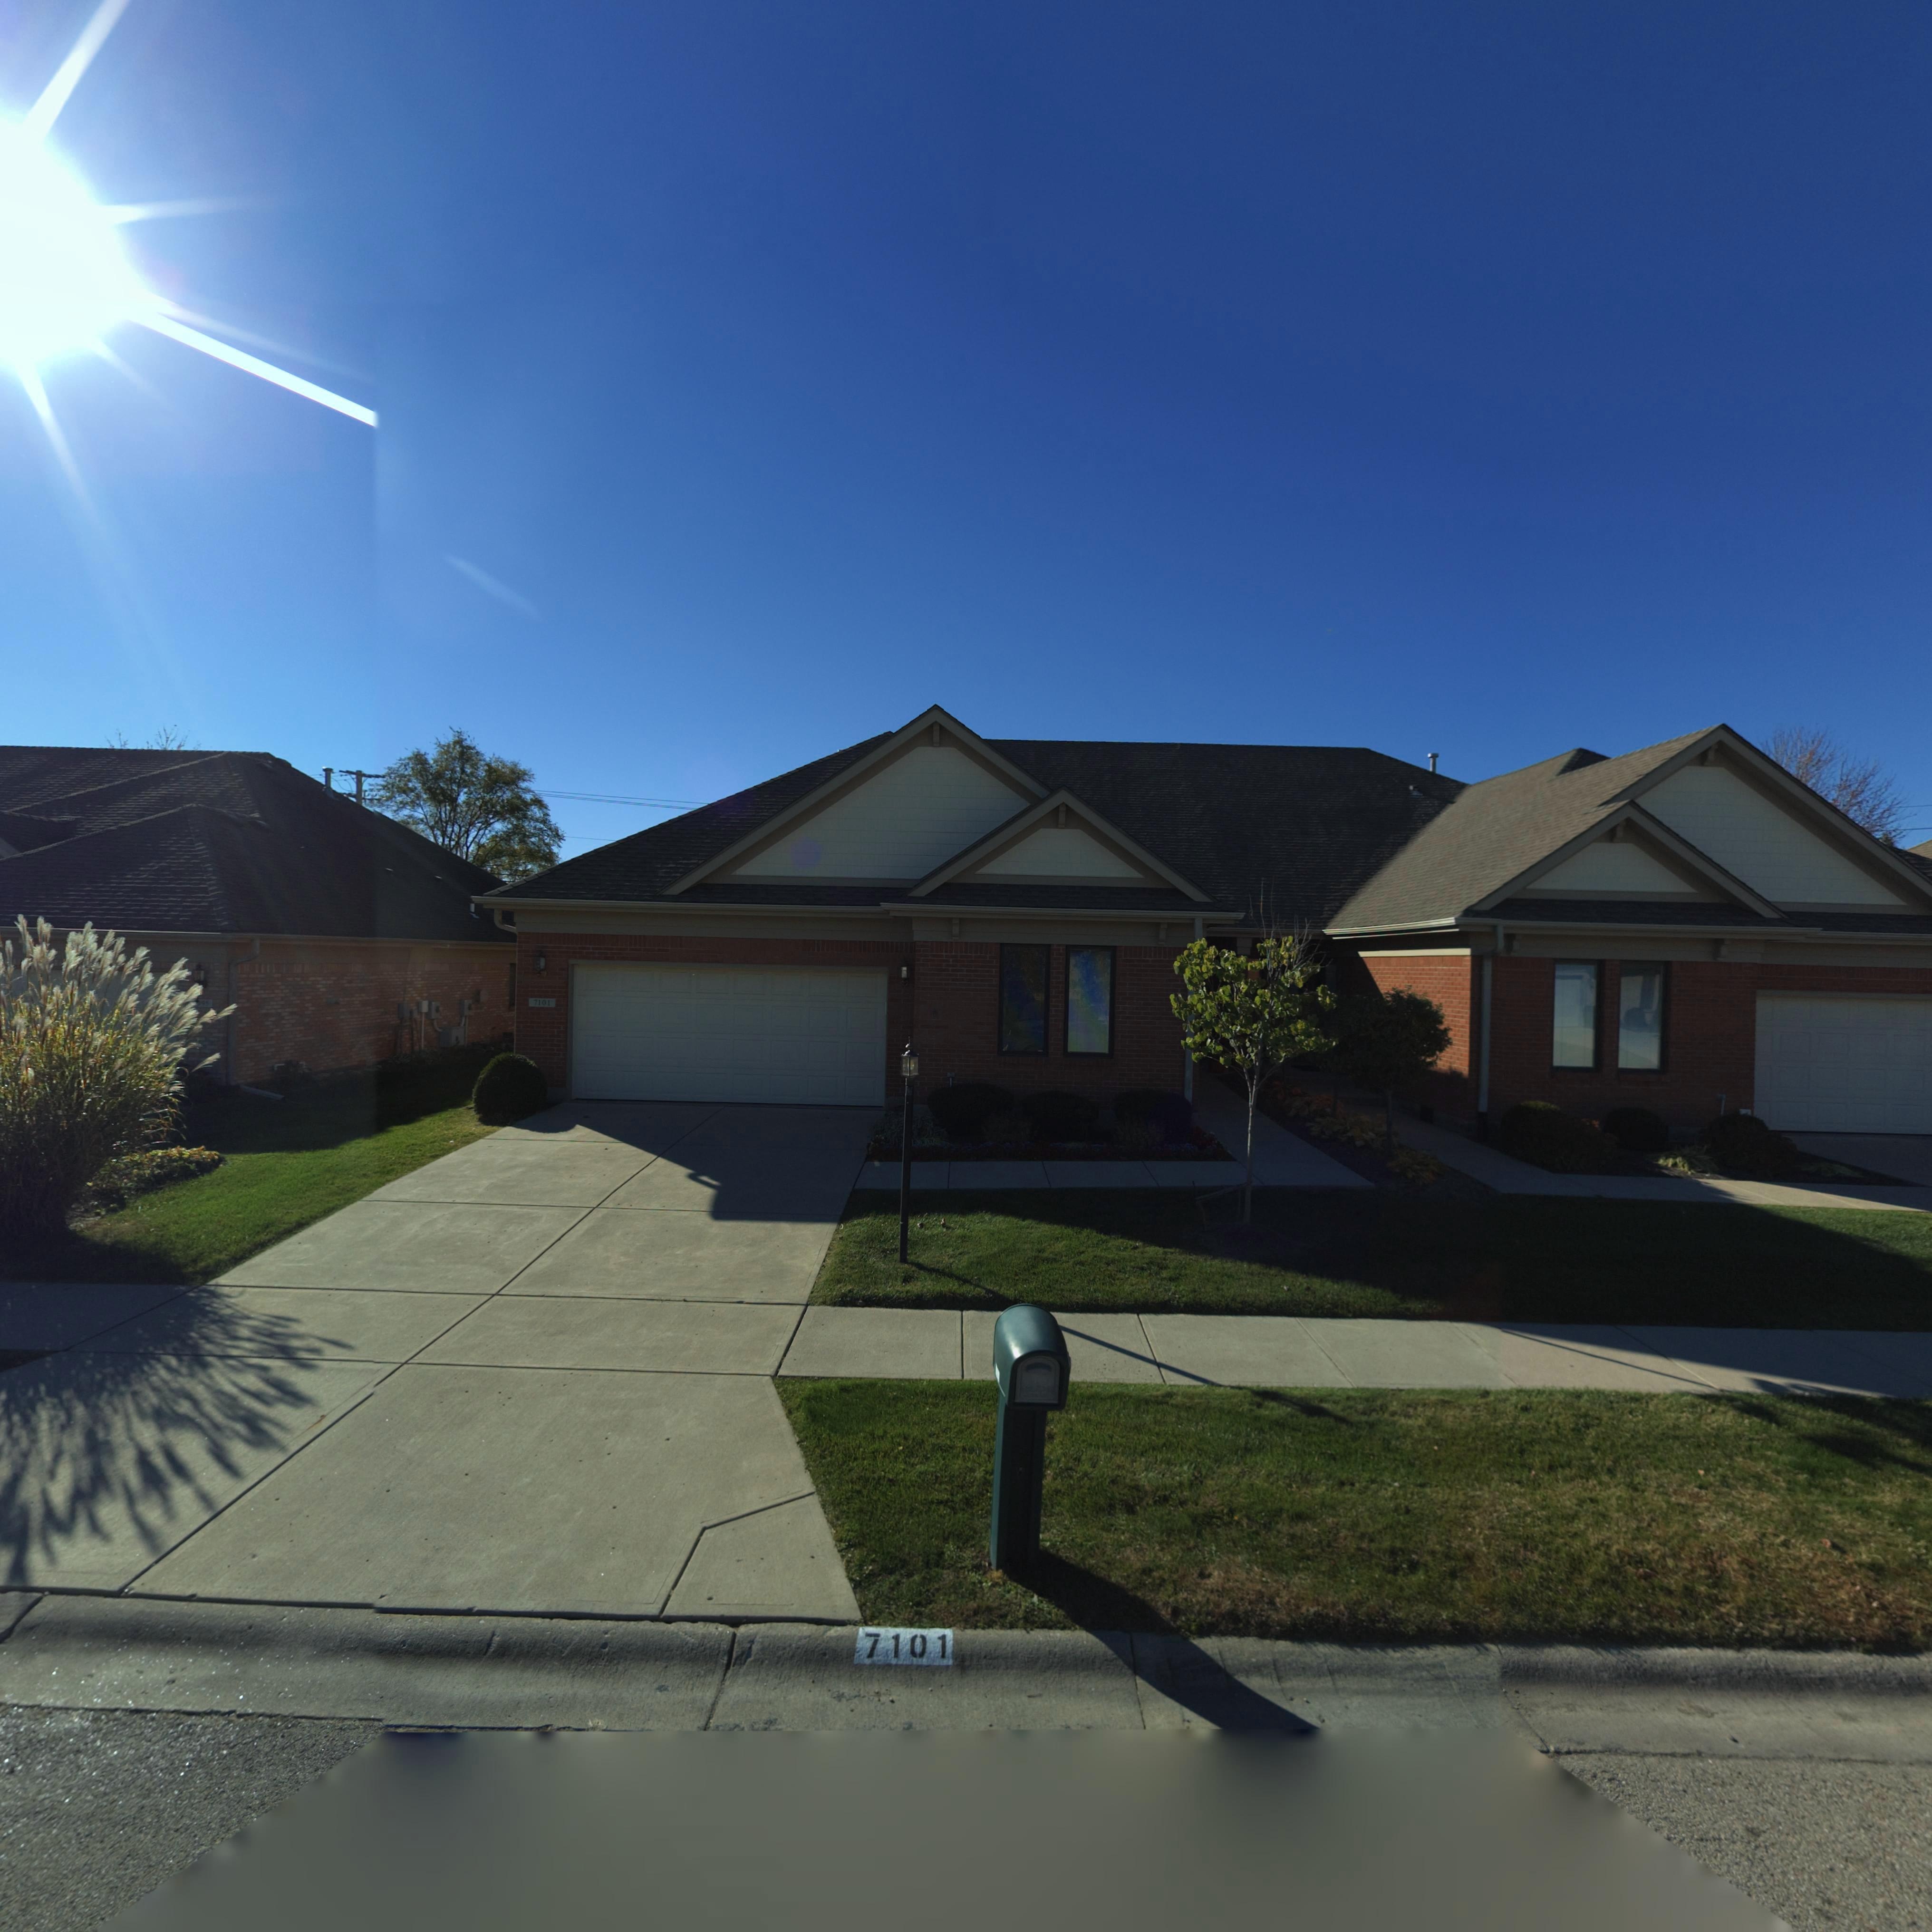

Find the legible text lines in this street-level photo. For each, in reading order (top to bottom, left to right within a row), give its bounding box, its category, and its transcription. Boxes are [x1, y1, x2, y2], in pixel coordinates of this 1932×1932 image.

[533, 999, 551, 1006] StreetNumber: 7101
[864, 1631, 947, 1660] StreetNumber: 7101